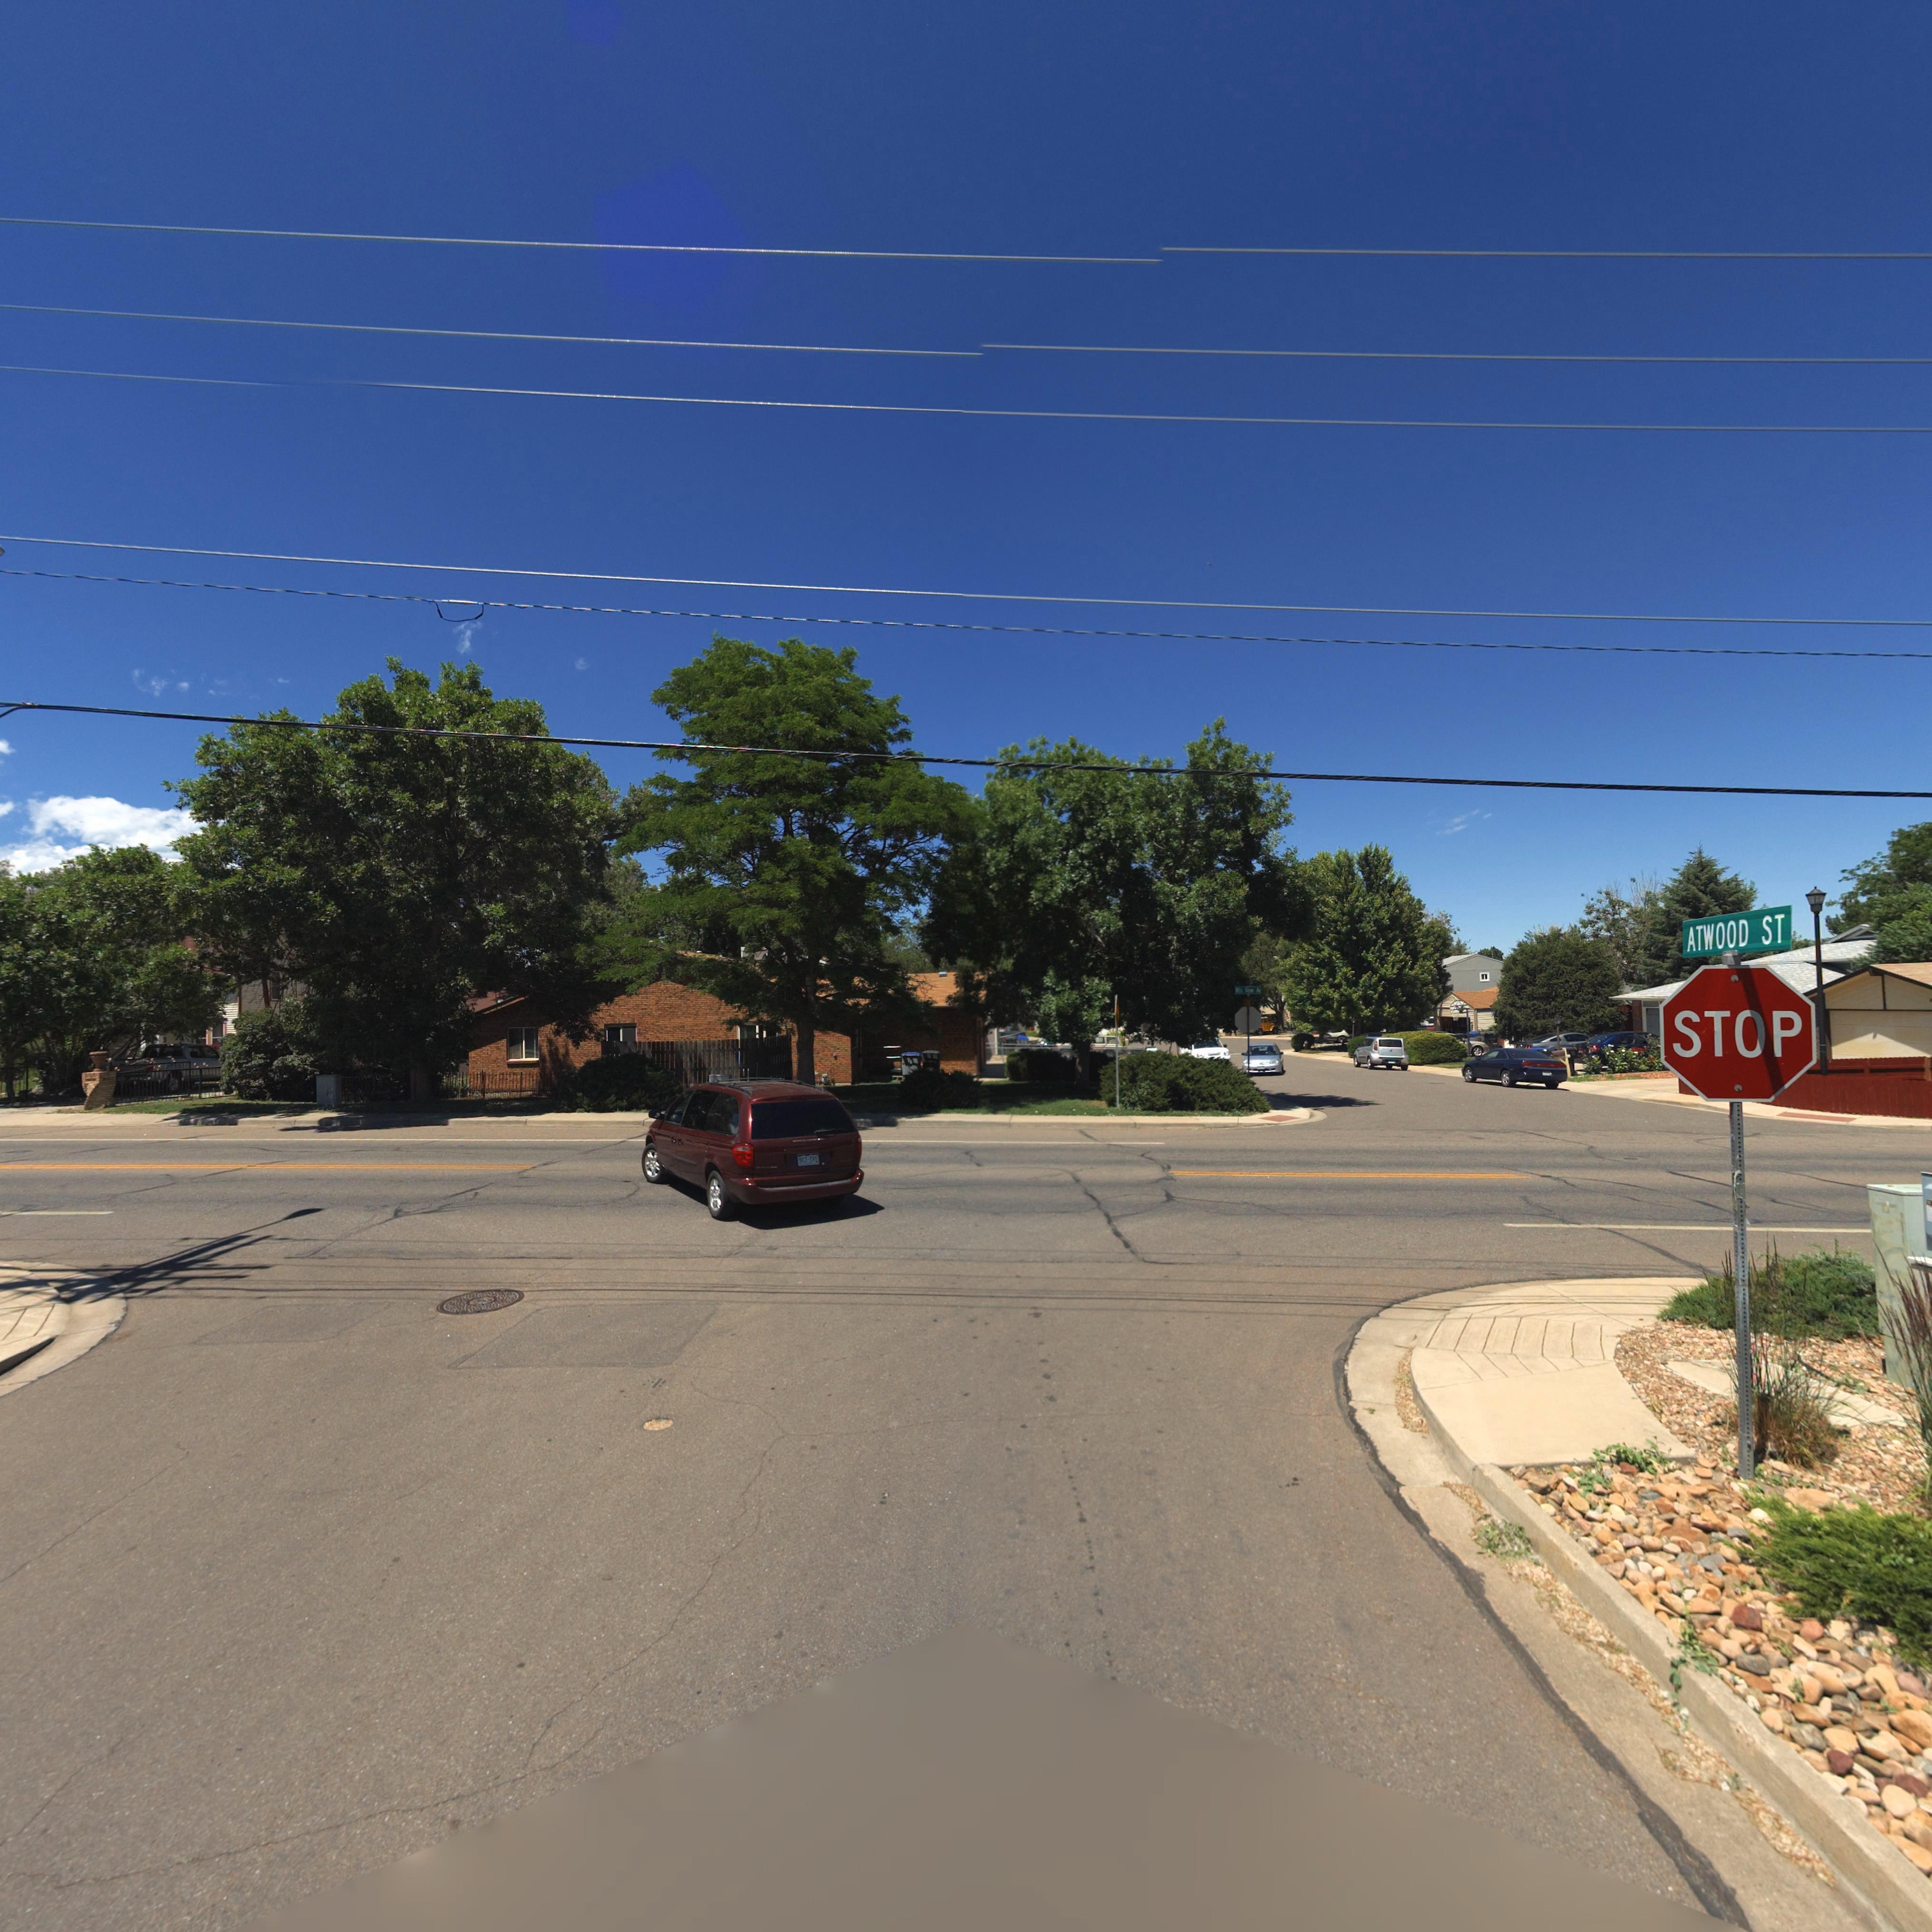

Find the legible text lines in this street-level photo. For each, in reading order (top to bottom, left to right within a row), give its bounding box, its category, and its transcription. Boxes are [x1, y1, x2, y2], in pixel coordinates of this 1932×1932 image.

[1686, 913, 1785, 952] StreetName: ATWOOD ST
[1235, 986, 1261, 993] StreetName: Mtn View Av